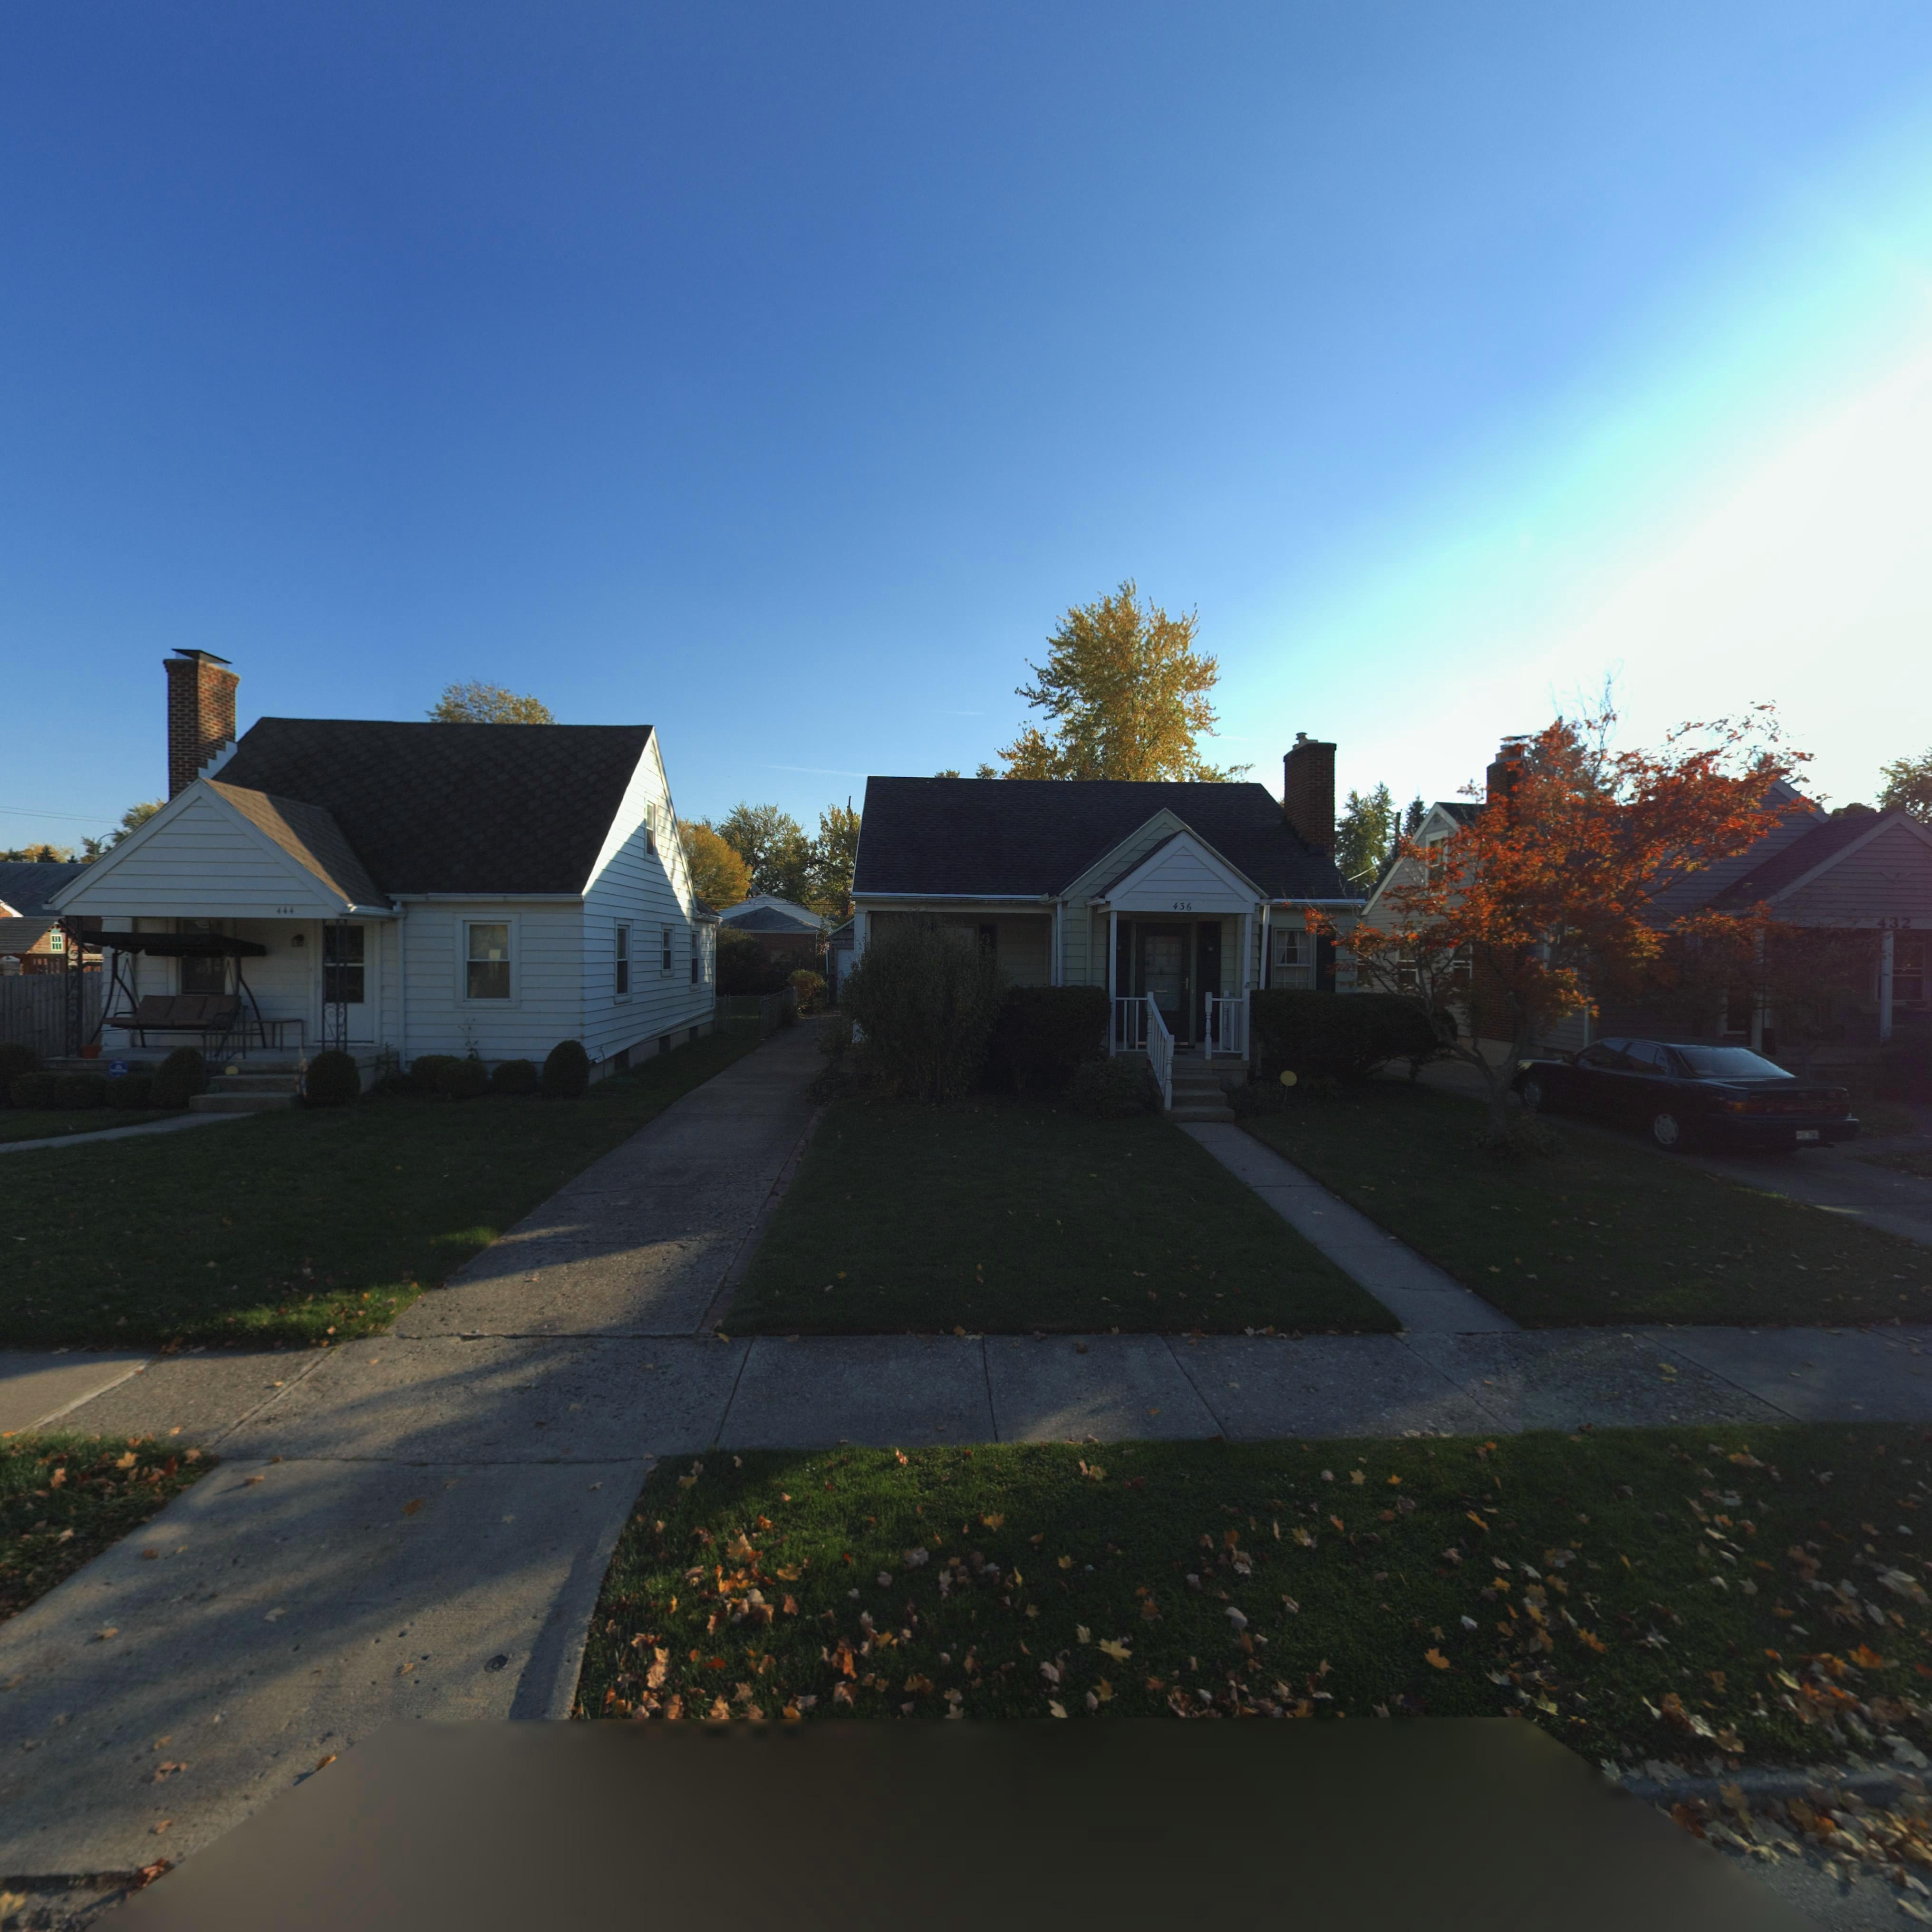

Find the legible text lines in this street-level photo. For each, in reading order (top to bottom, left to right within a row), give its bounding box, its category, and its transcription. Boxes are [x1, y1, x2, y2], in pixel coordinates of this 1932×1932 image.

[275, 906, 295, 915] StreetNumber: 444
[1172, 901, 1192, 911] StreetNumber: 436